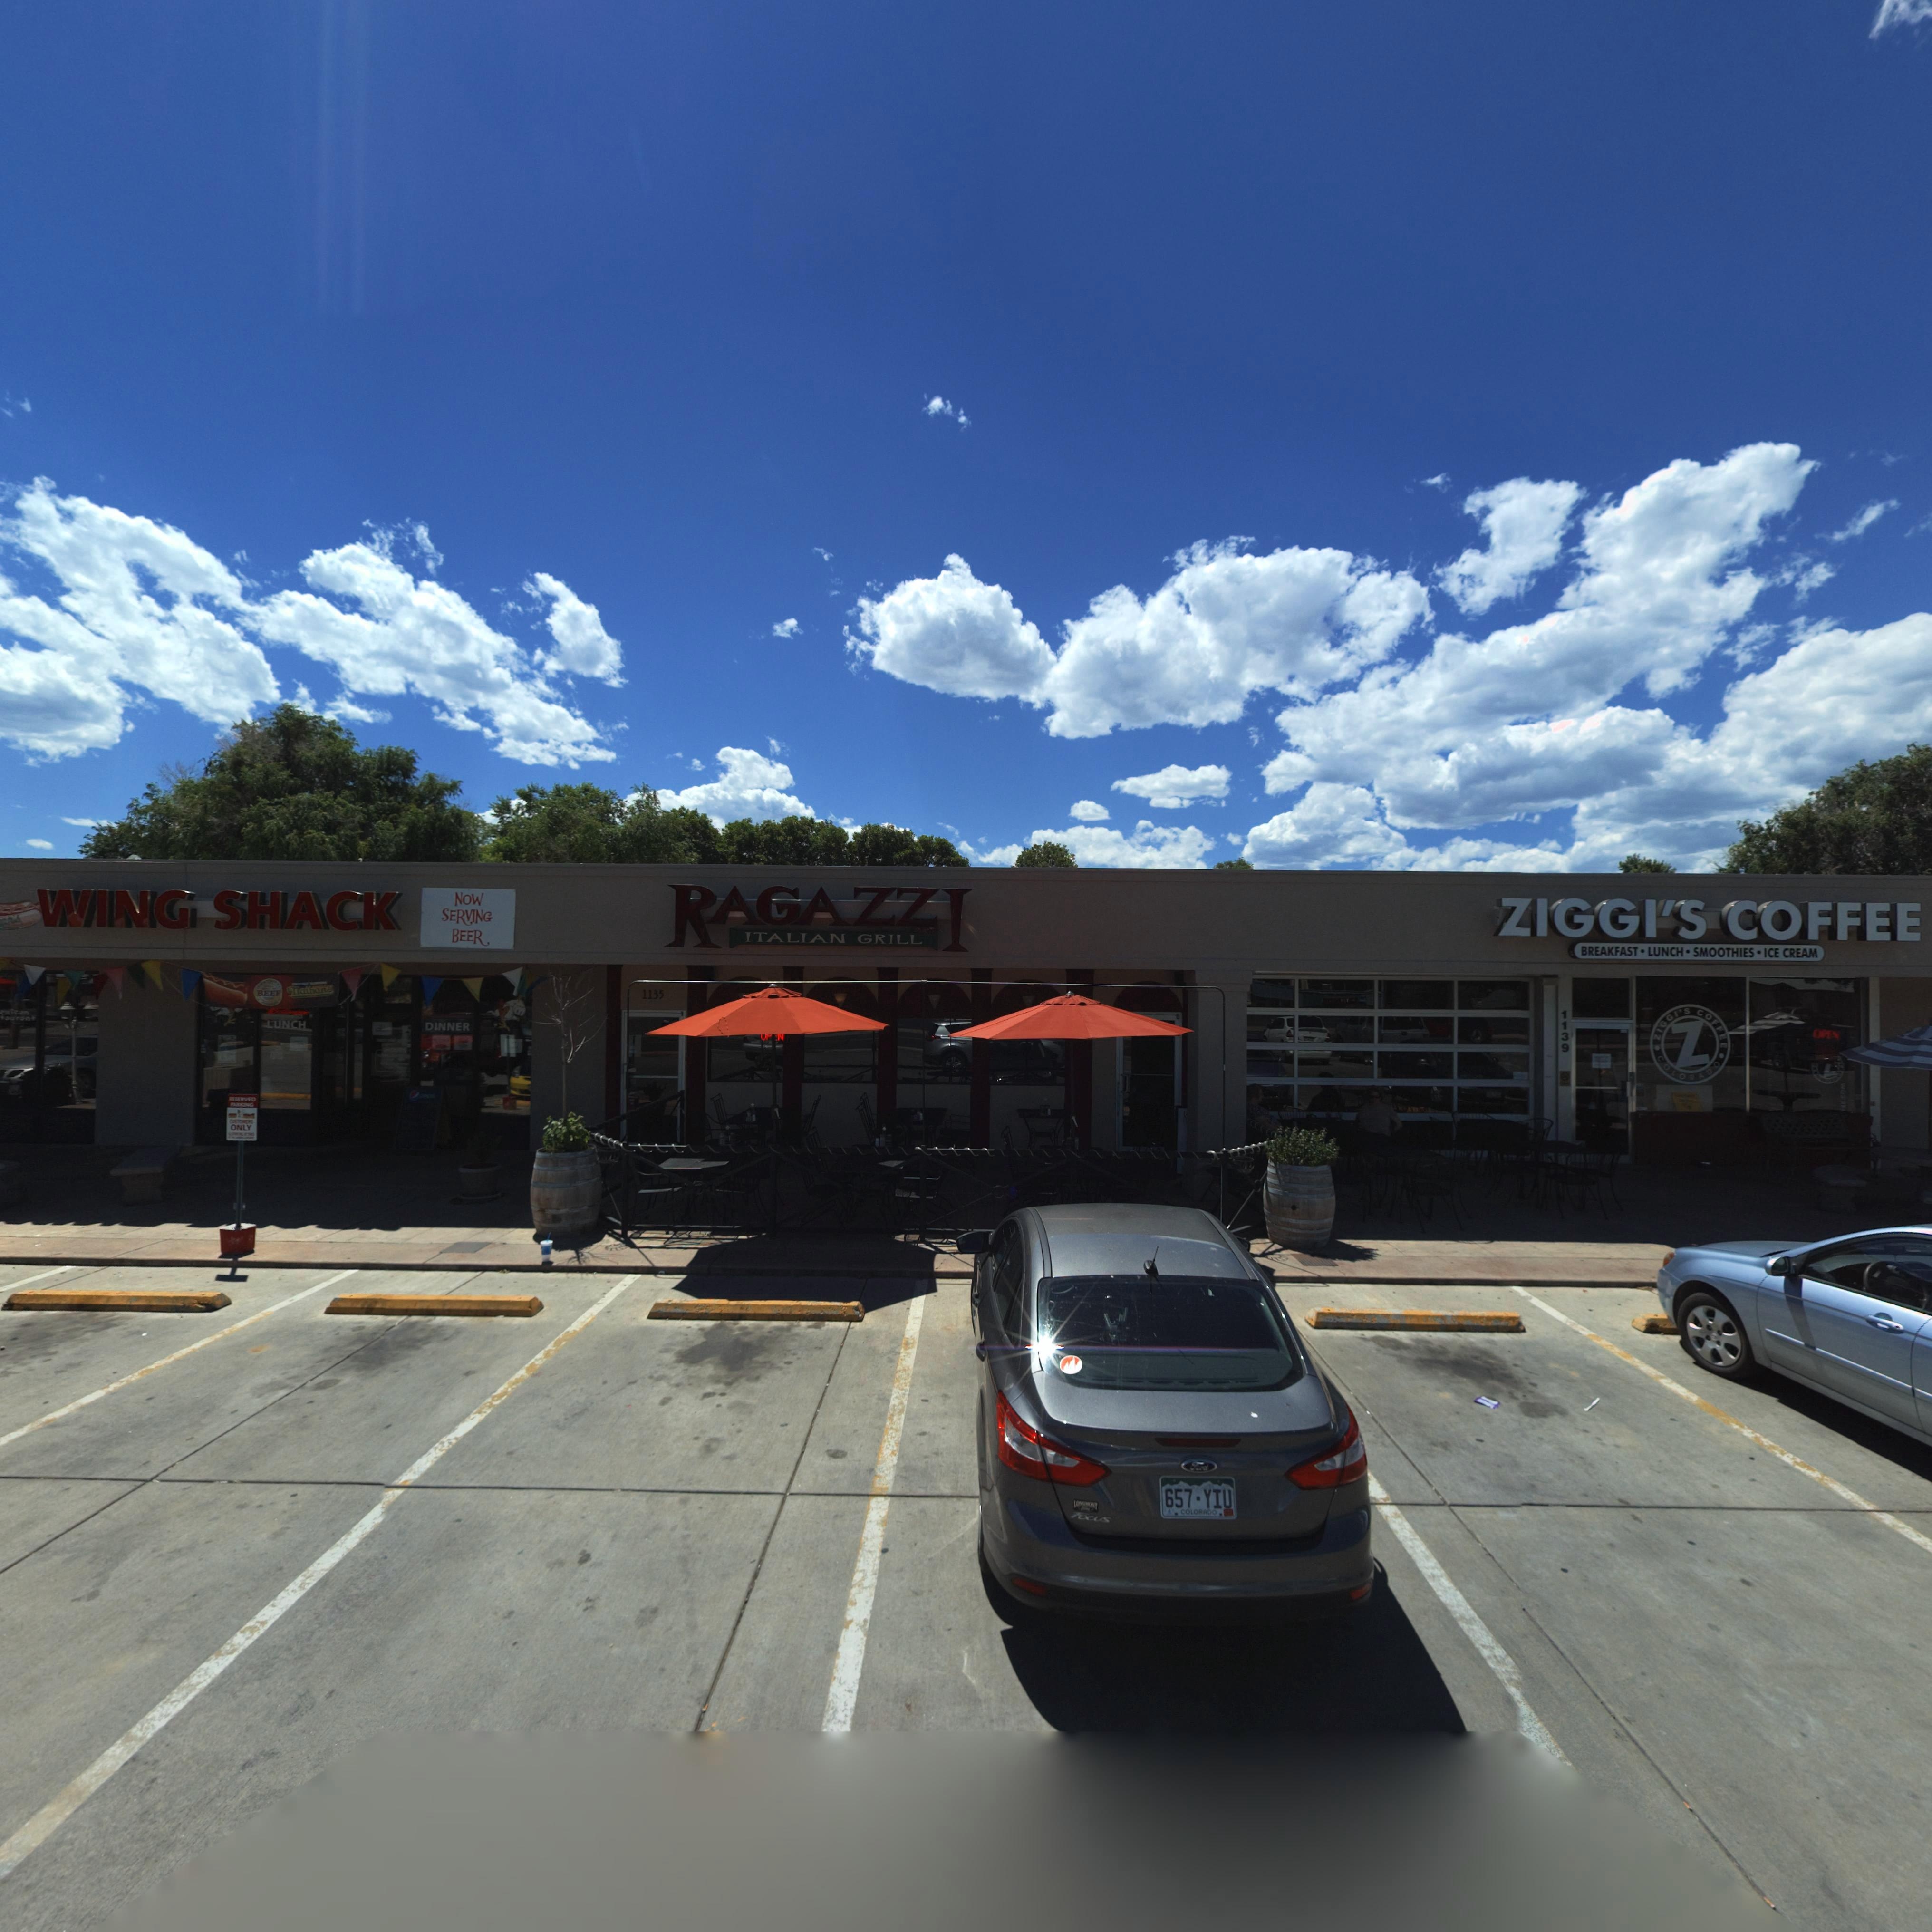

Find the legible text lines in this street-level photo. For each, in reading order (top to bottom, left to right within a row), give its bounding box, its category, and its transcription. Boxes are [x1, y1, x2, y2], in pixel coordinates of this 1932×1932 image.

[1, 914, 21, 925] BusinessName: an*S
[36, 887, 399, 931] BusinessName: WING SHACK
[663, 883, 974, 953] BusinessName: RAGAZZI
[744, 931, 923, 945] BusinessName: ITALIAN GRILL
[1496, 896, 1922, 943] BusinessName: ZIGGI*S COFFEE
[286, 984, 332, 995] BusinessName: Nathan*s
[641, 989, 665, 1000] StreetNumber: 1135
[1561, 1010, 1570, 1053] StreetNumber: 1139
[1653, 1007, 1728, 1048] BusinessName: ZIGGI*S COFFEE